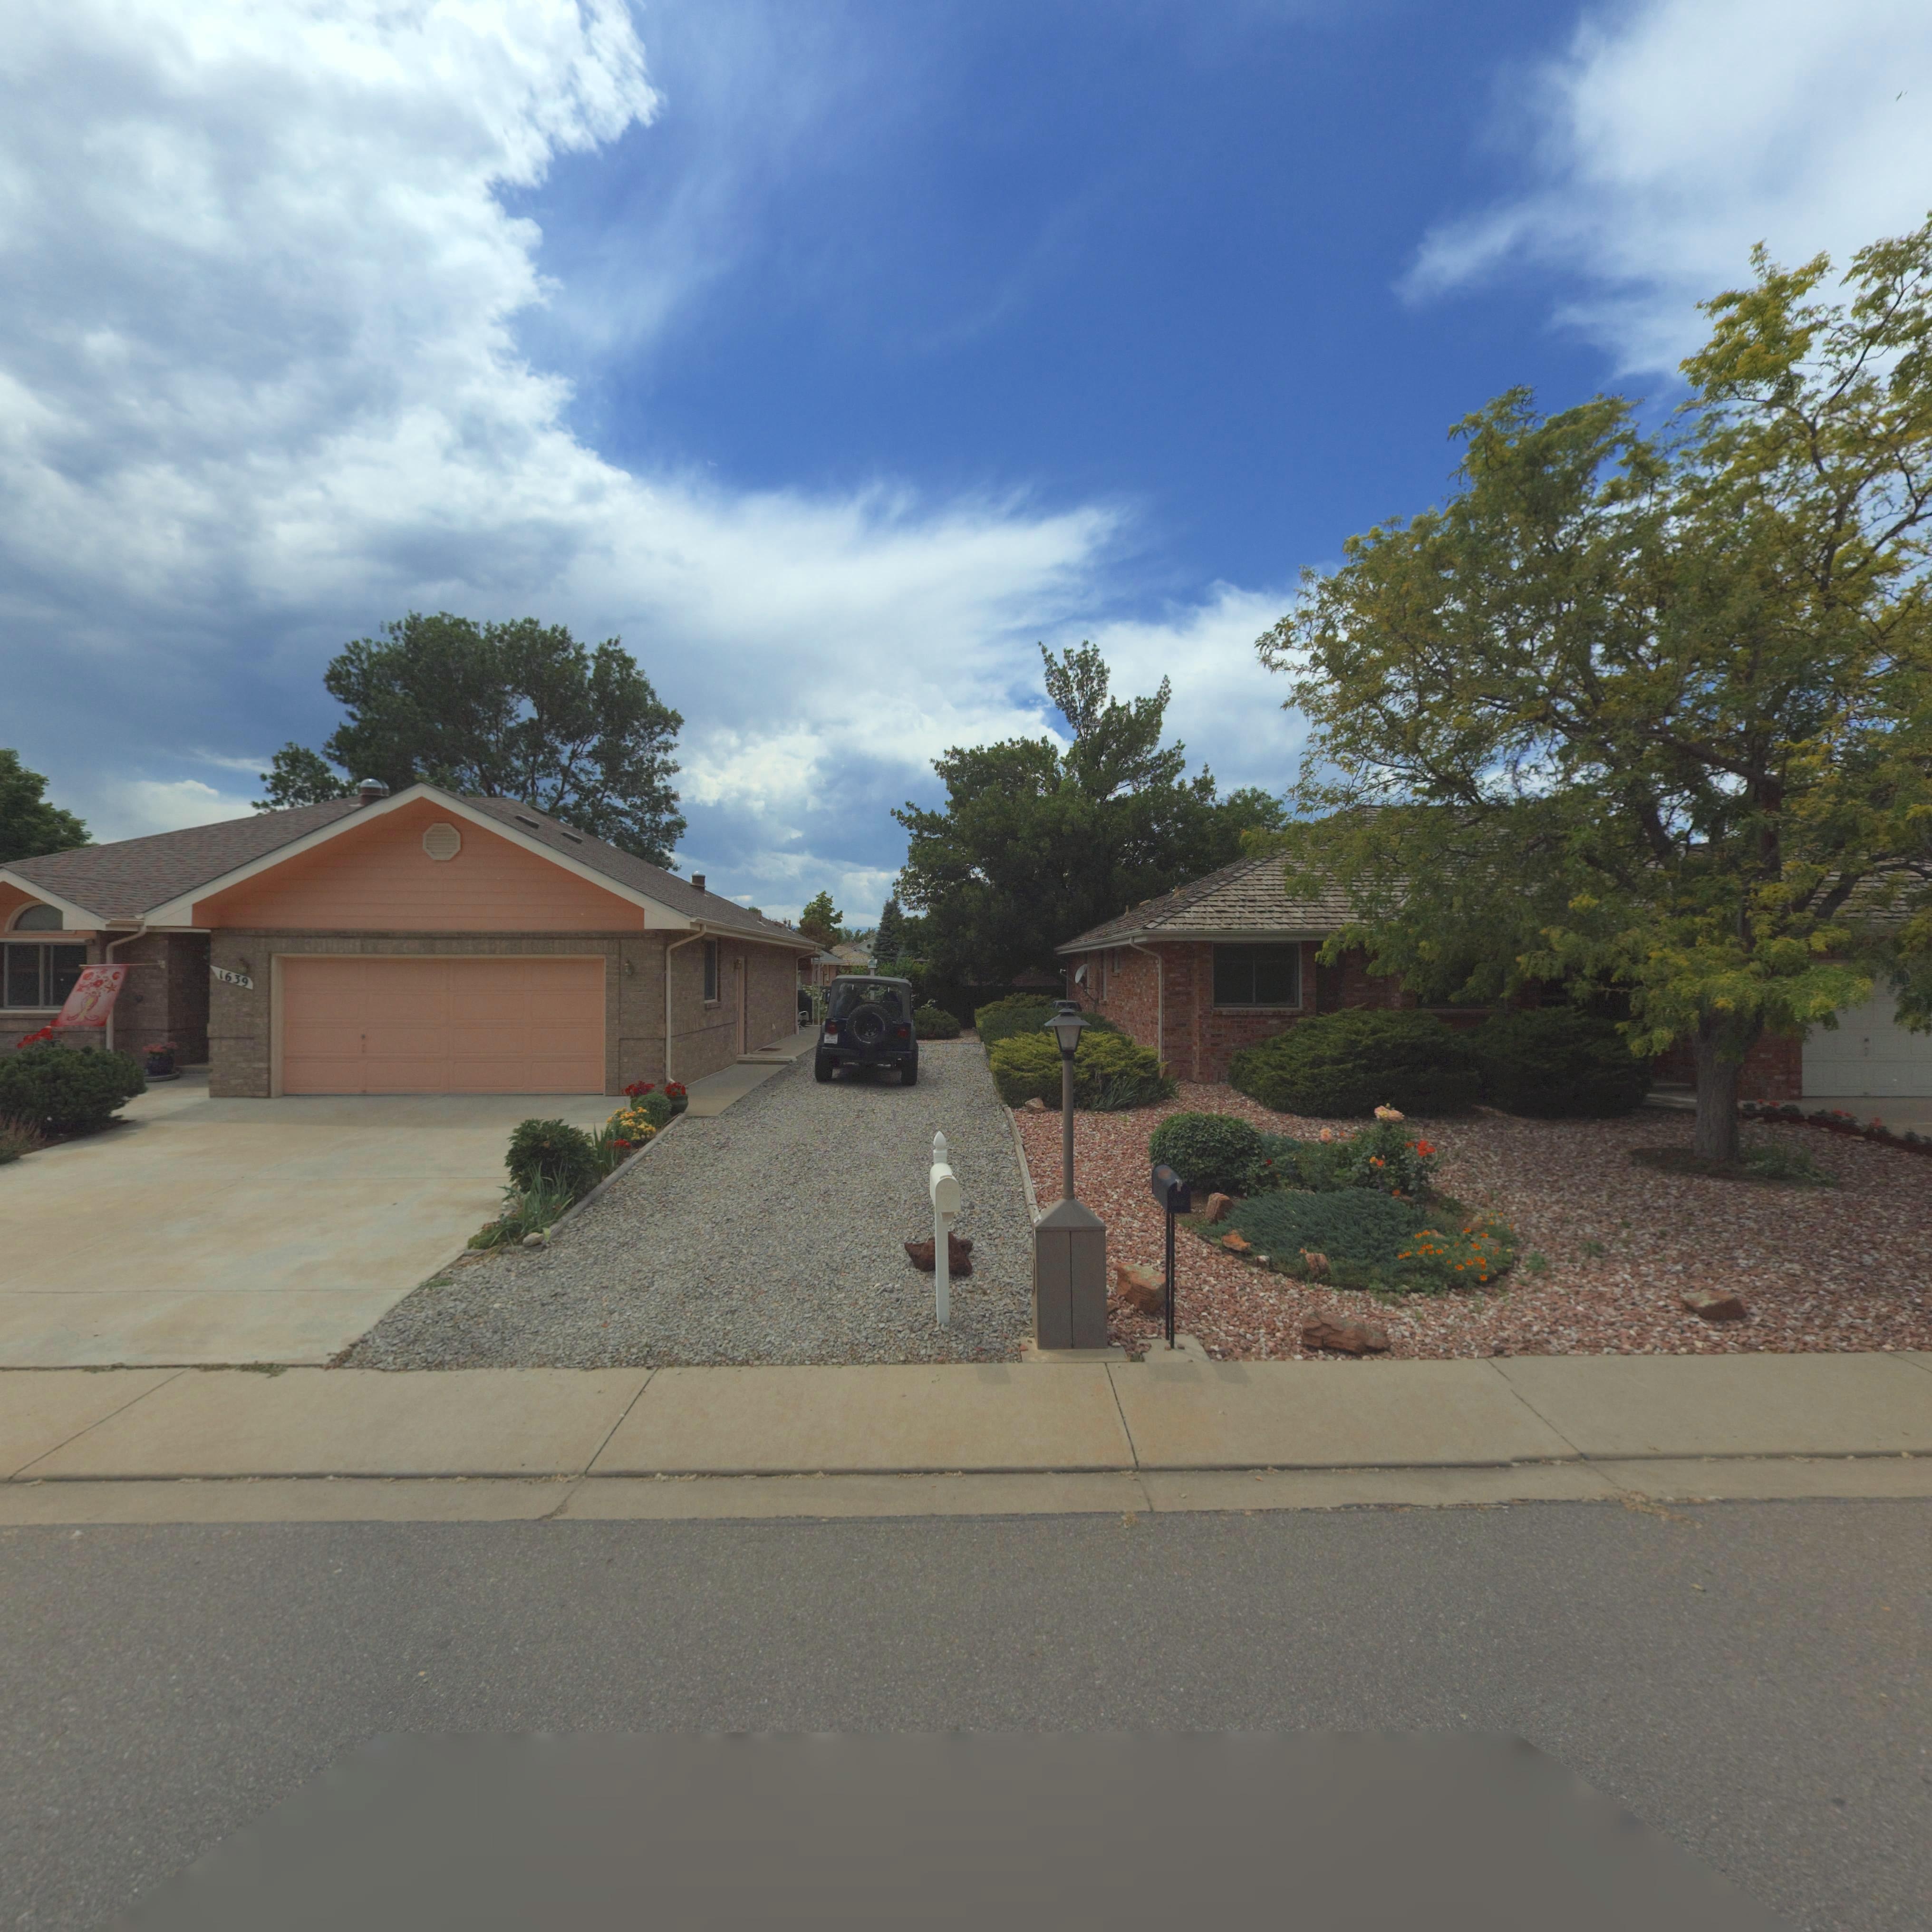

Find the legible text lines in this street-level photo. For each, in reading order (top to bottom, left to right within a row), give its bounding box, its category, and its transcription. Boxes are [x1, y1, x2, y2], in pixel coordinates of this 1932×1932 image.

[219, 968, 249, 987] StreetNumber: 1639